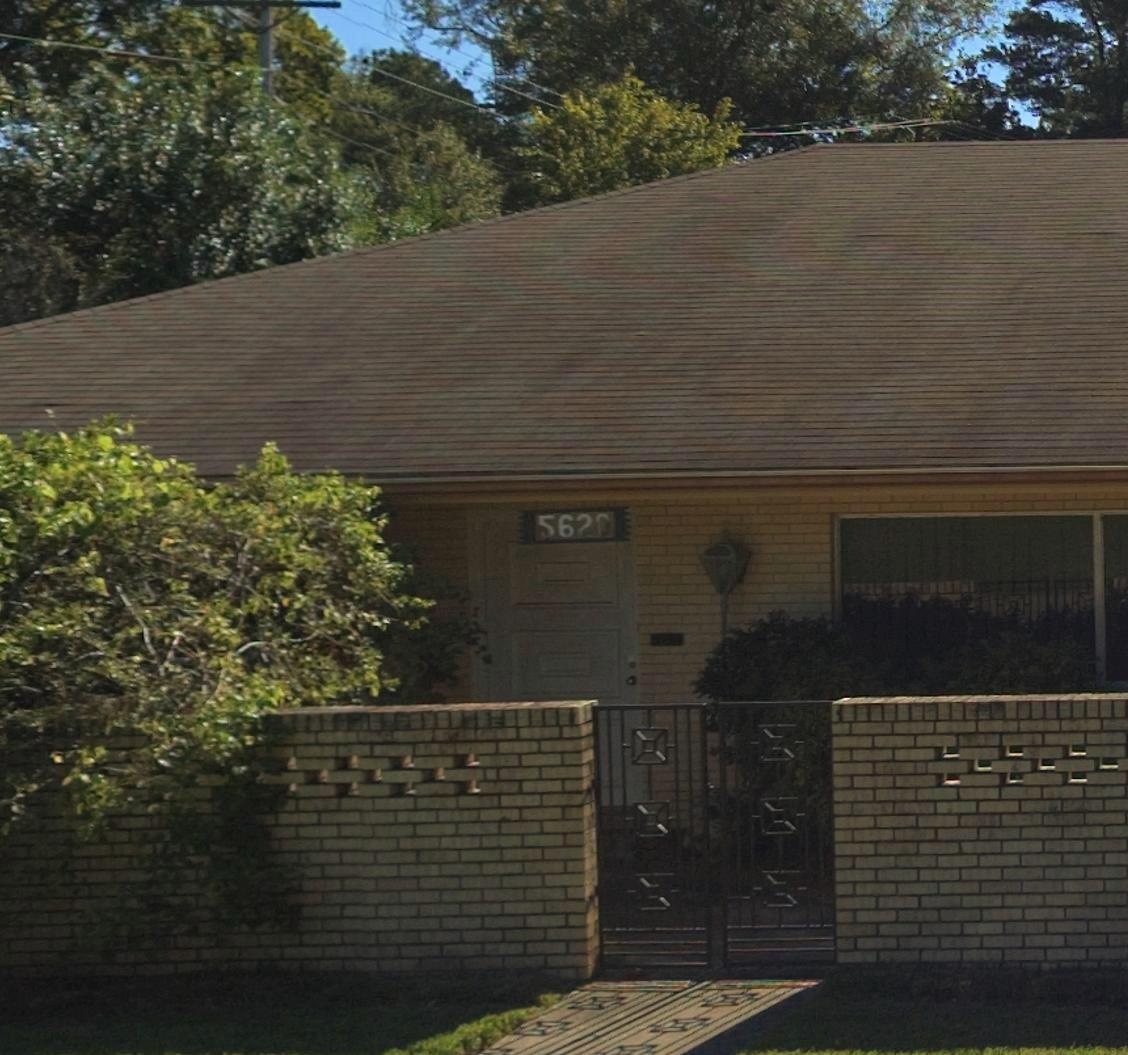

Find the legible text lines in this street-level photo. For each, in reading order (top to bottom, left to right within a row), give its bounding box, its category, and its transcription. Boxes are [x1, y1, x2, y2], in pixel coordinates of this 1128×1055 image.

[535, 510, 612, 541] StreetNumber: 5620